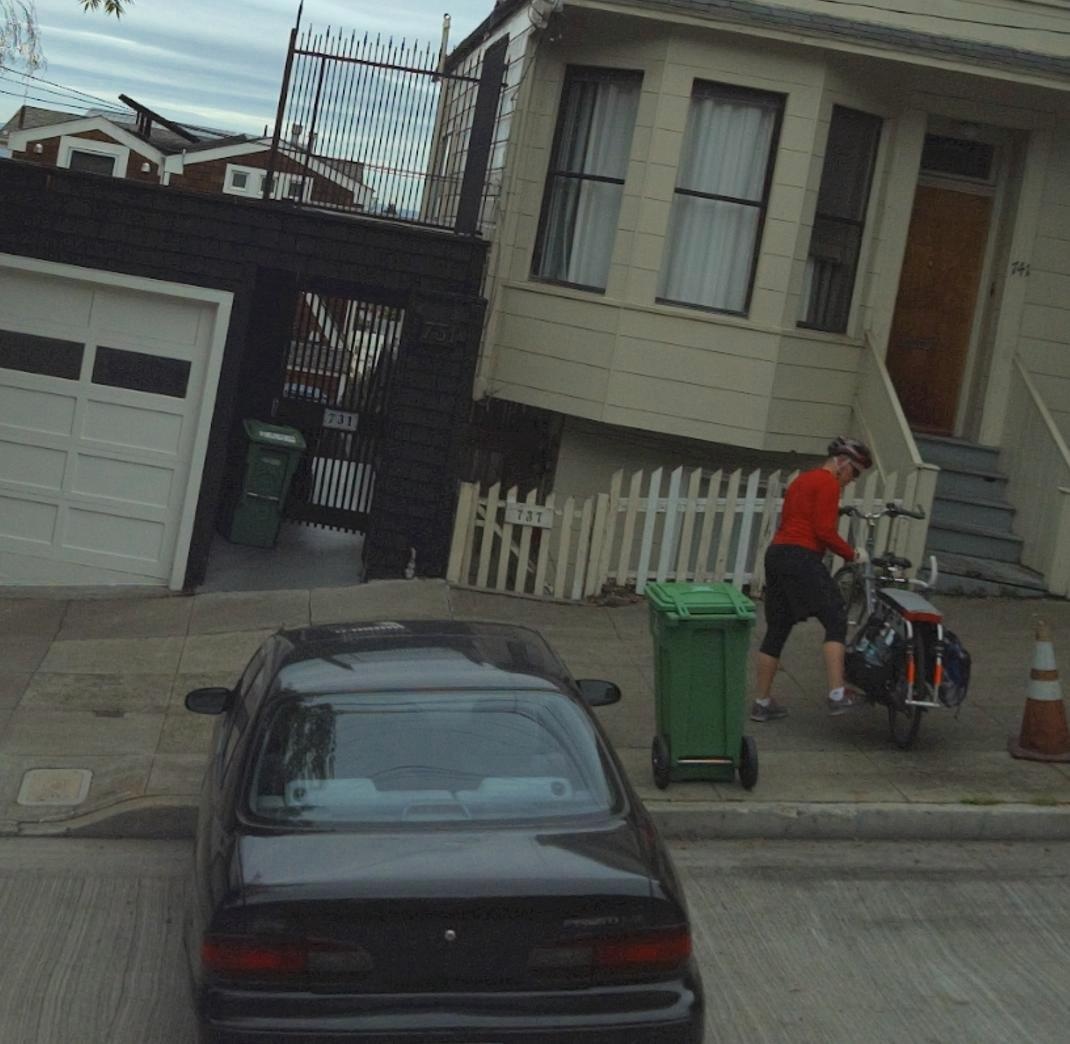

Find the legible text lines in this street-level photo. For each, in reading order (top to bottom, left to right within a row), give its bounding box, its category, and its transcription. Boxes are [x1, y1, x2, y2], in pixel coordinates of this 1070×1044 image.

[1008, 260, 1032, 278] StreetNumber: 741
[419, 319, 458, 345] StreetNumber: 731
[325, 409, 354, 429] StreetNumber: 731
[515, 508, 545, 525] StreetNumber: 737